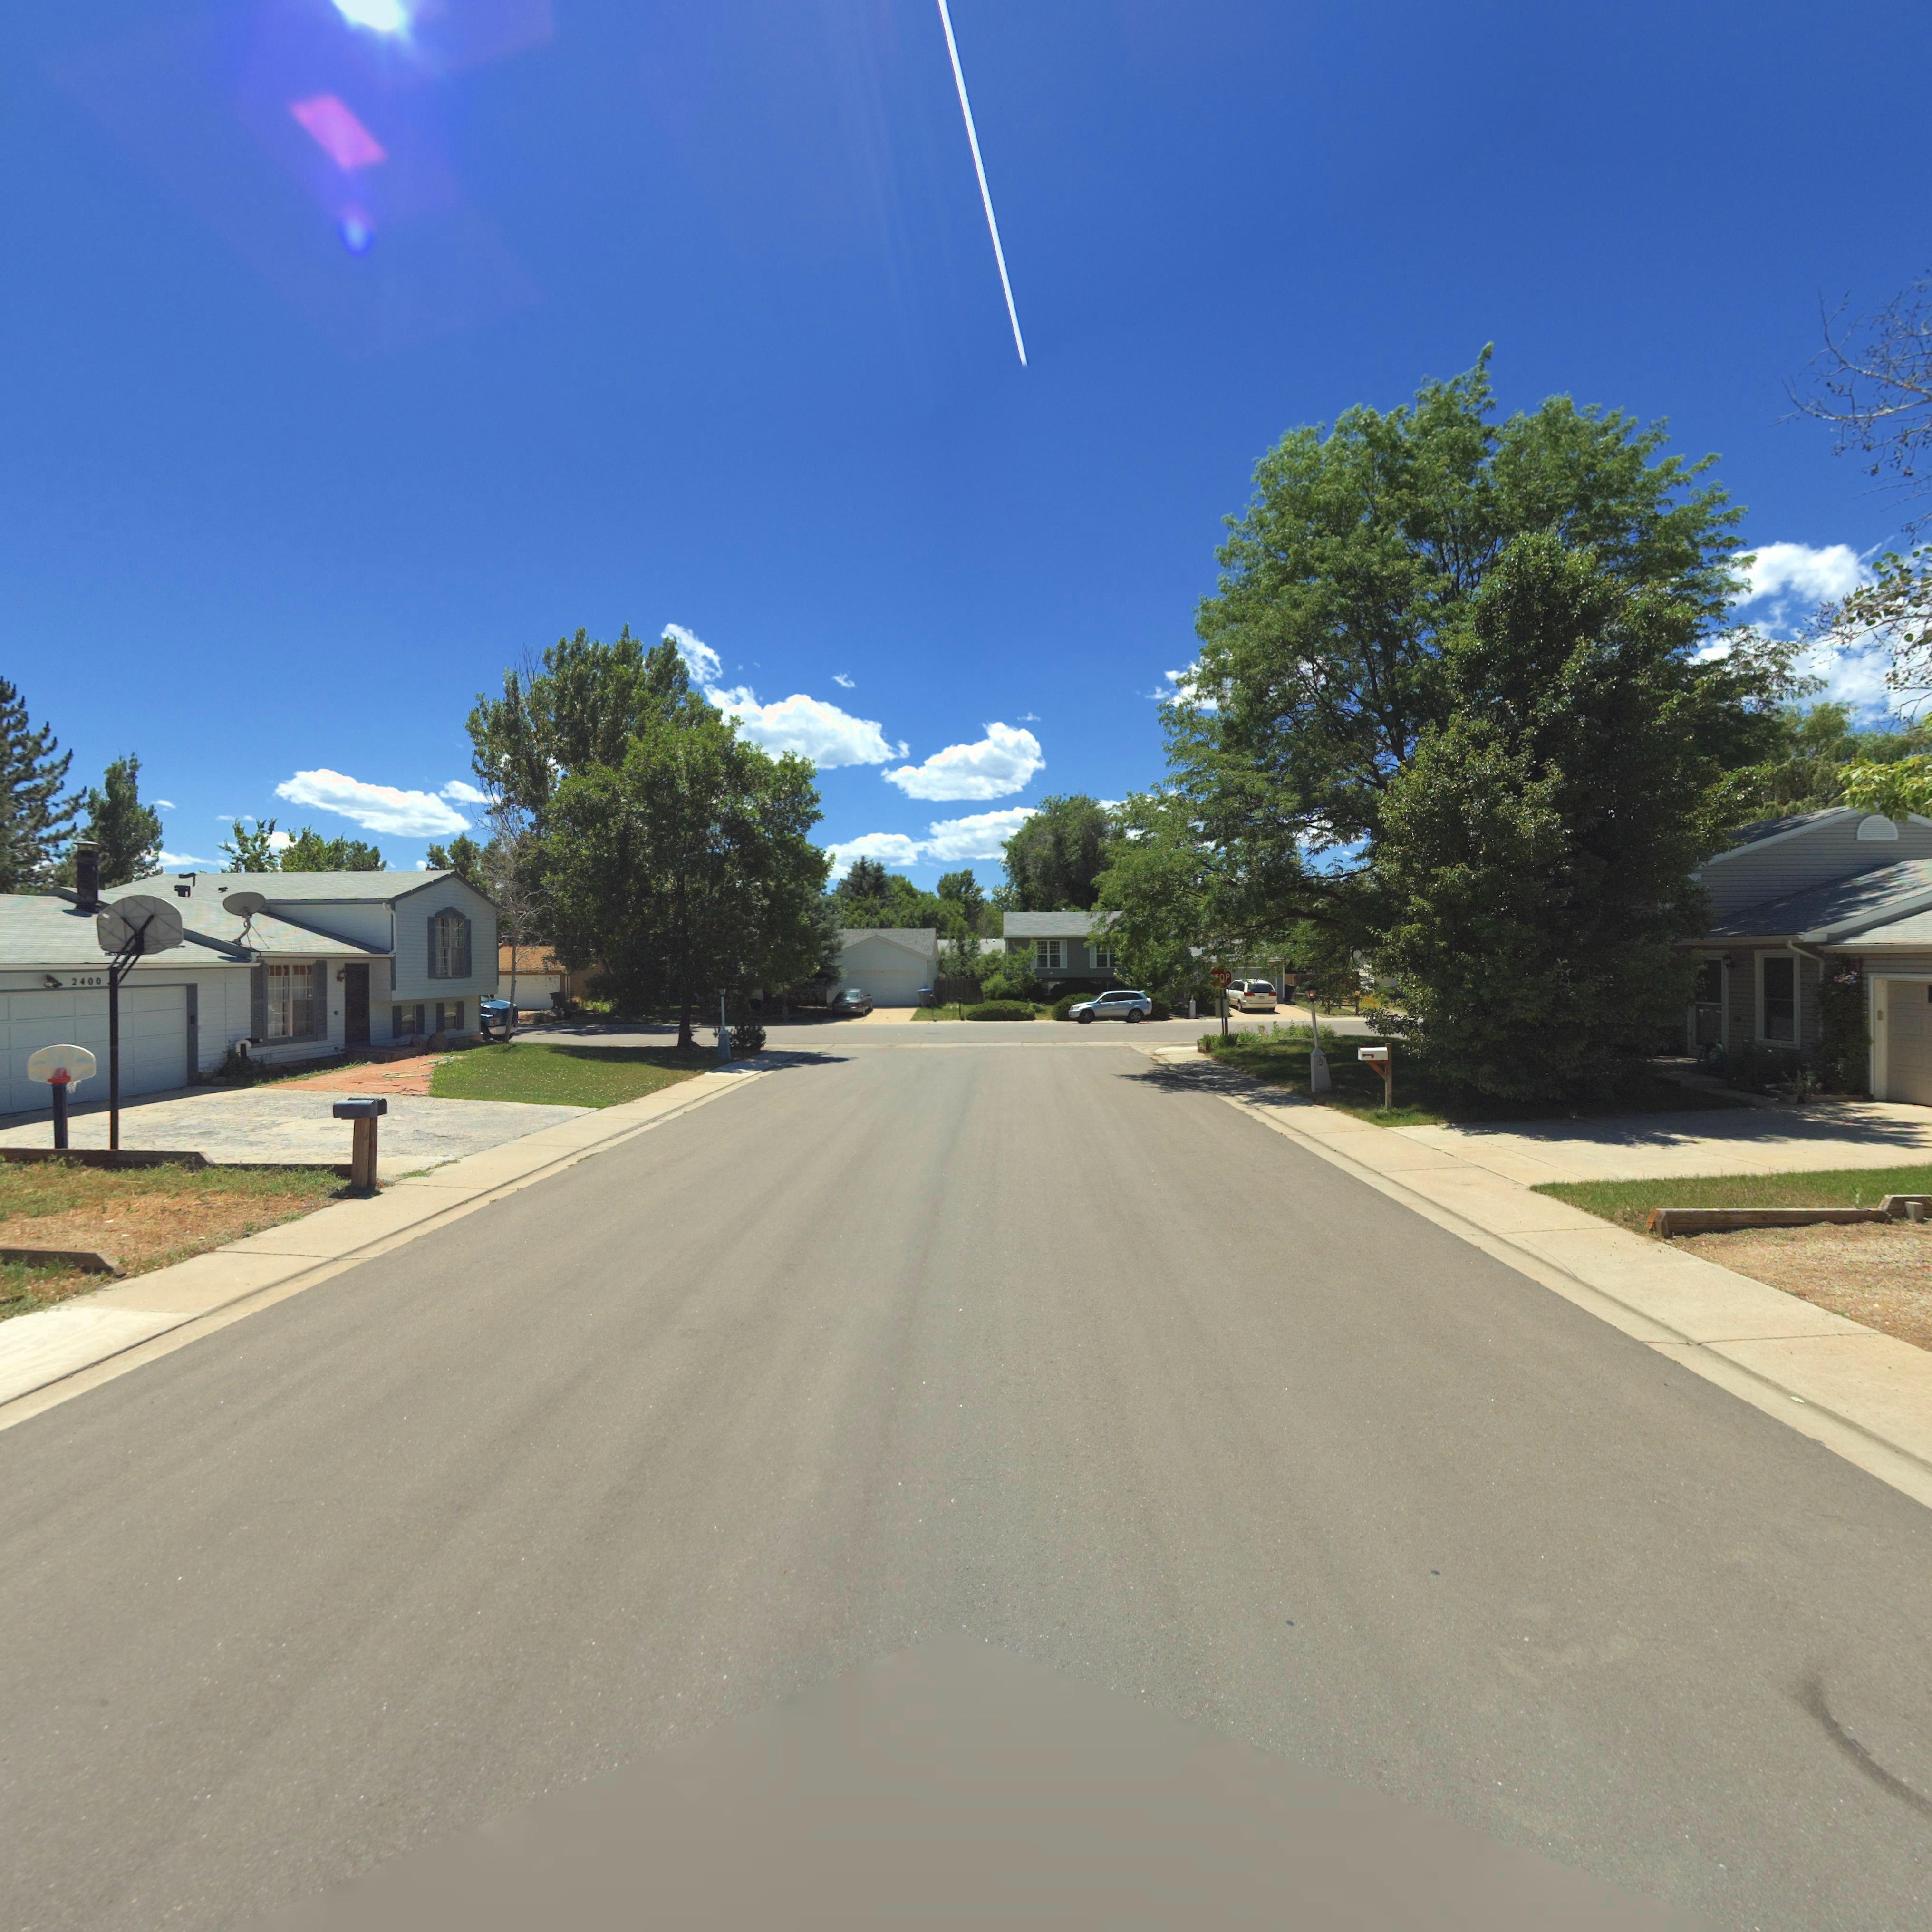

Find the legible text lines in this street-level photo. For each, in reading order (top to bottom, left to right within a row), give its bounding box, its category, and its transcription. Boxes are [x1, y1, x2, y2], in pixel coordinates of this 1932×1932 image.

[71, 977, 101, 985] StreetNumber: 2400